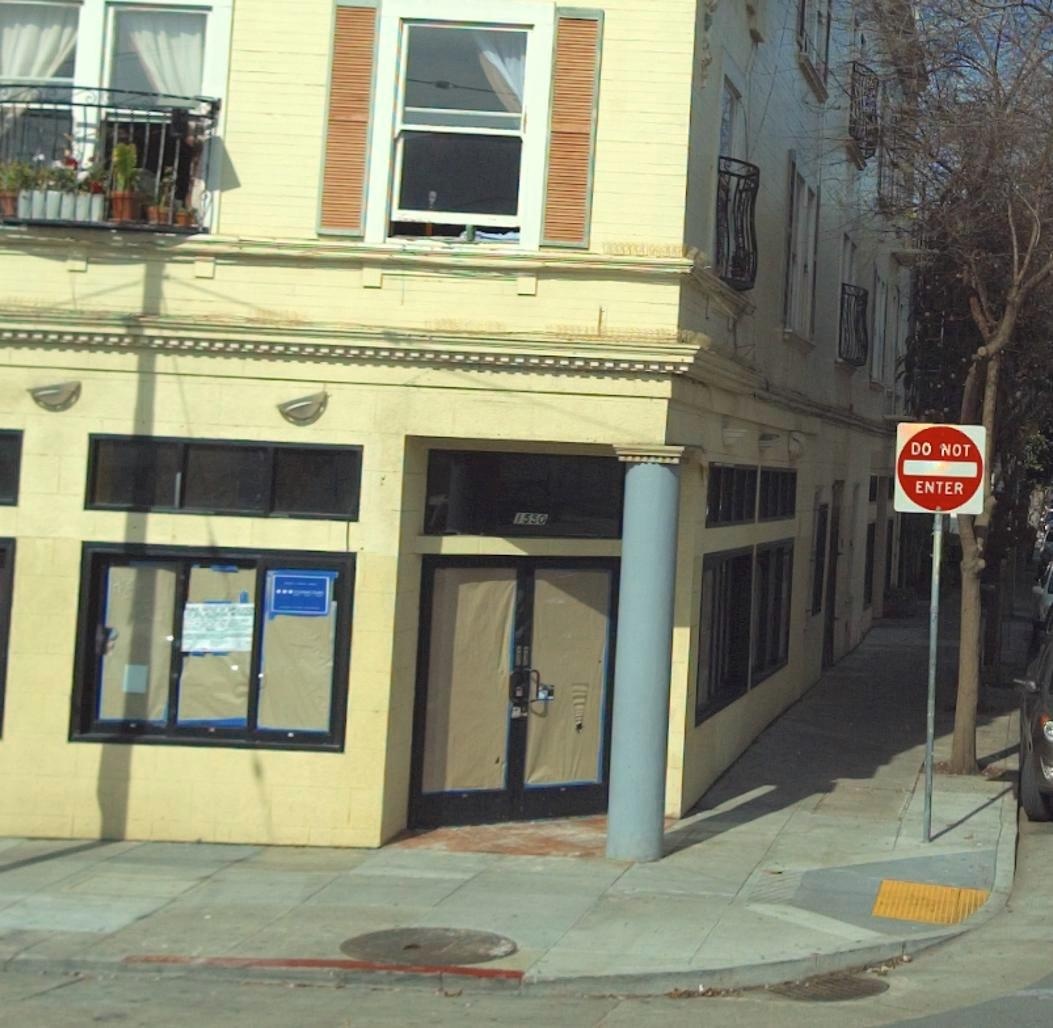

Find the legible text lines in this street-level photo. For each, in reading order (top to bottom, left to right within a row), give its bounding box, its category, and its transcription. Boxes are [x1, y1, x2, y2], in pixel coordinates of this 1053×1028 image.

[907, 436, 976, 459] None: DO NOT
[912, 476, 966, 498] None: ENTER
[511, 511, 549, 527] StreetNumber: 1550